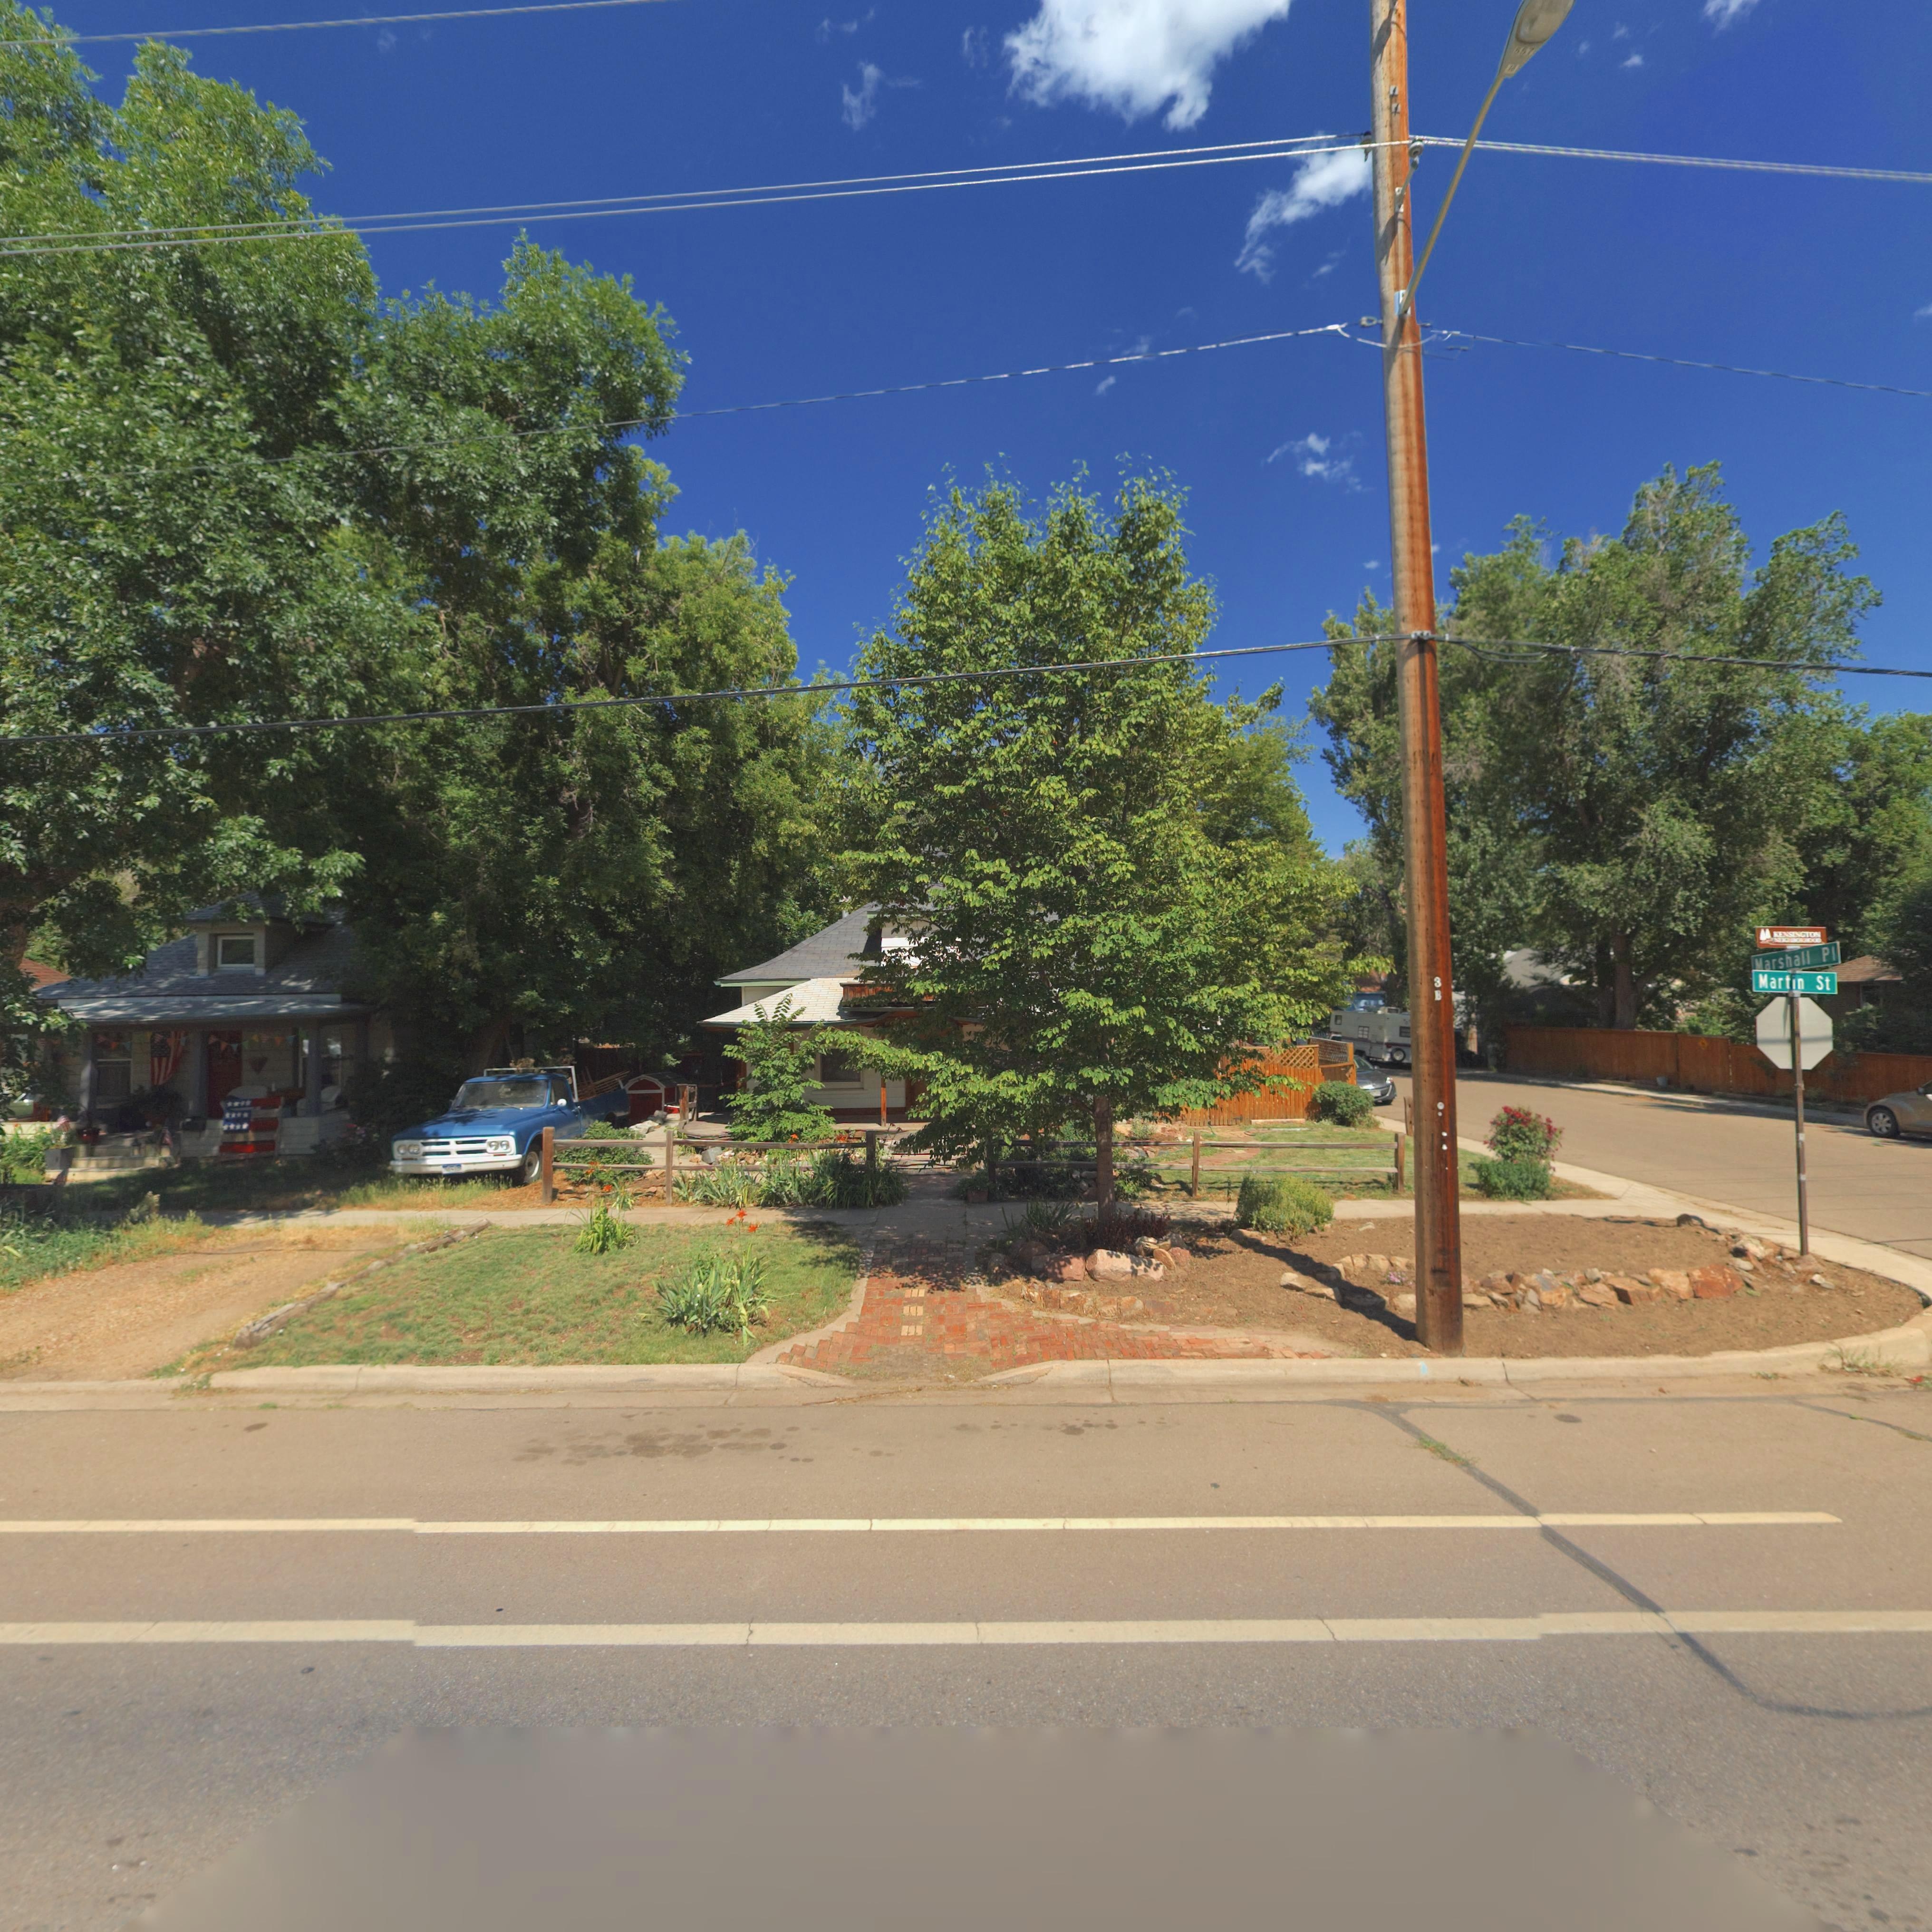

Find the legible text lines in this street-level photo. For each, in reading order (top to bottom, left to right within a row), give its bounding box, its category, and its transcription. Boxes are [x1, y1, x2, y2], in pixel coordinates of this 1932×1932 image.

[1754, 945, 1836, 972] StreetName: Marshall Pl
[1758, 973, 1831, 990] StreetName: Martin St